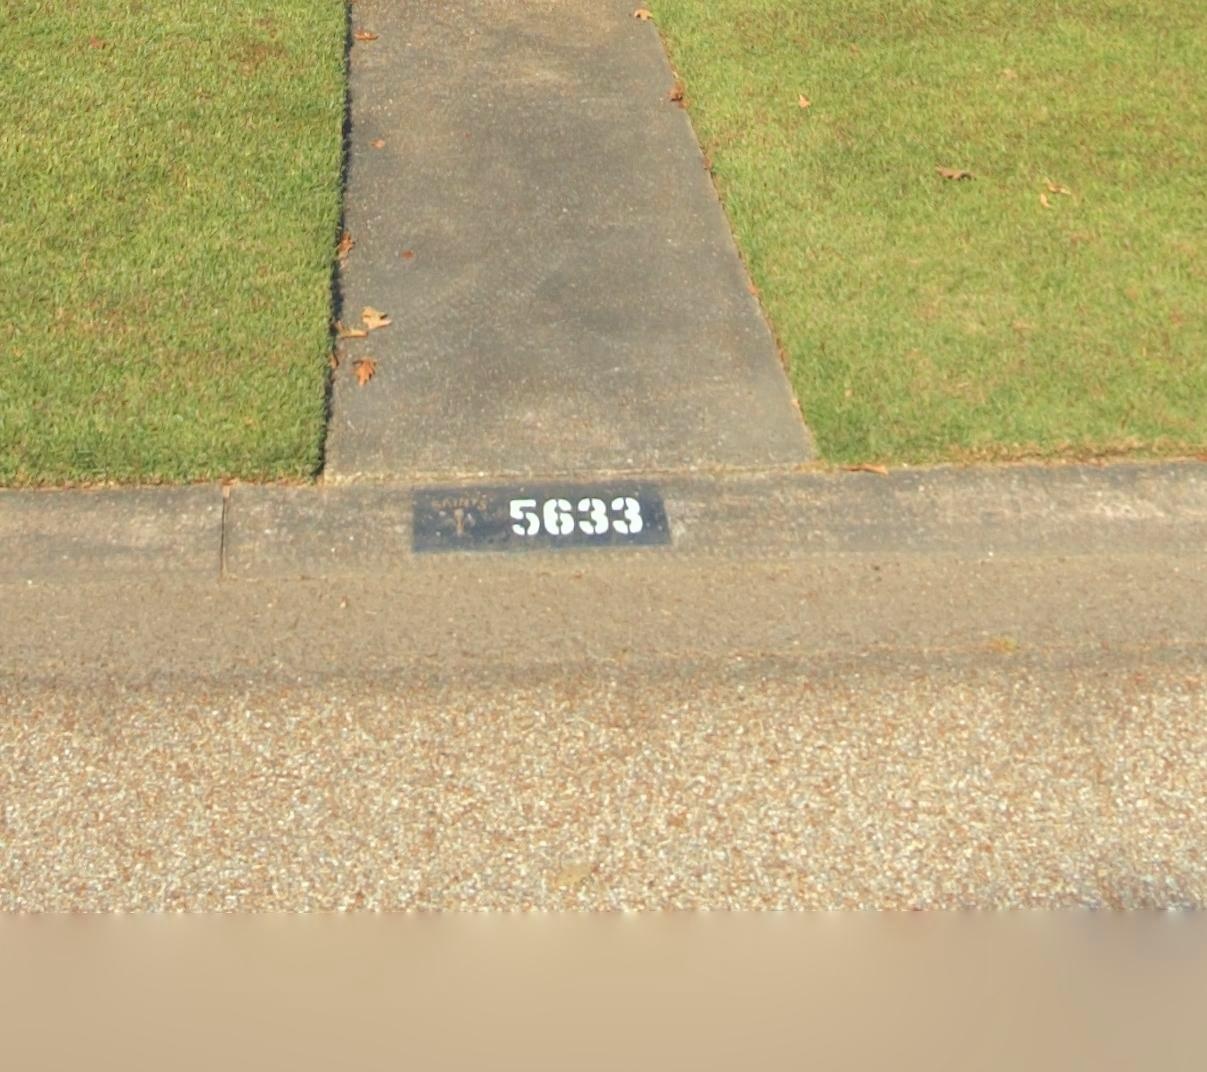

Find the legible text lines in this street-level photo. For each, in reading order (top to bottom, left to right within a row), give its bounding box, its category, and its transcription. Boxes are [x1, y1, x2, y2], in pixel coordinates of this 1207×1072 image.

[505, 495, 645, 538] StreetNumber: 5633